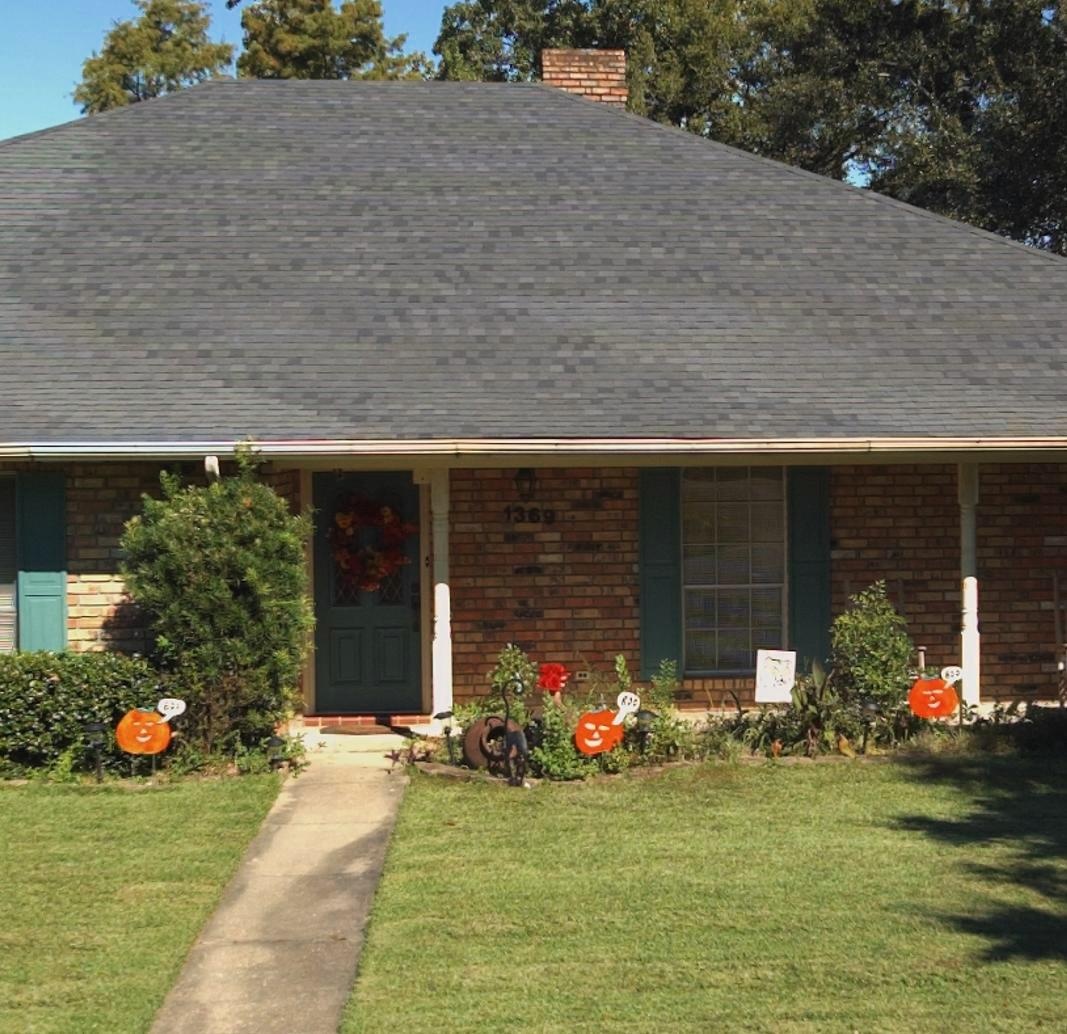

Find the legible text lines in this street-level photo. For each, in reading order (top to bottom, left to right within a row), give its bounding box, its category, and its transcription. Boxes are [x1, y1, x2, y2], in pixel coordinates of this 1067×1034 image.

[503, 502, 557, 526] StreetNumber: 1369